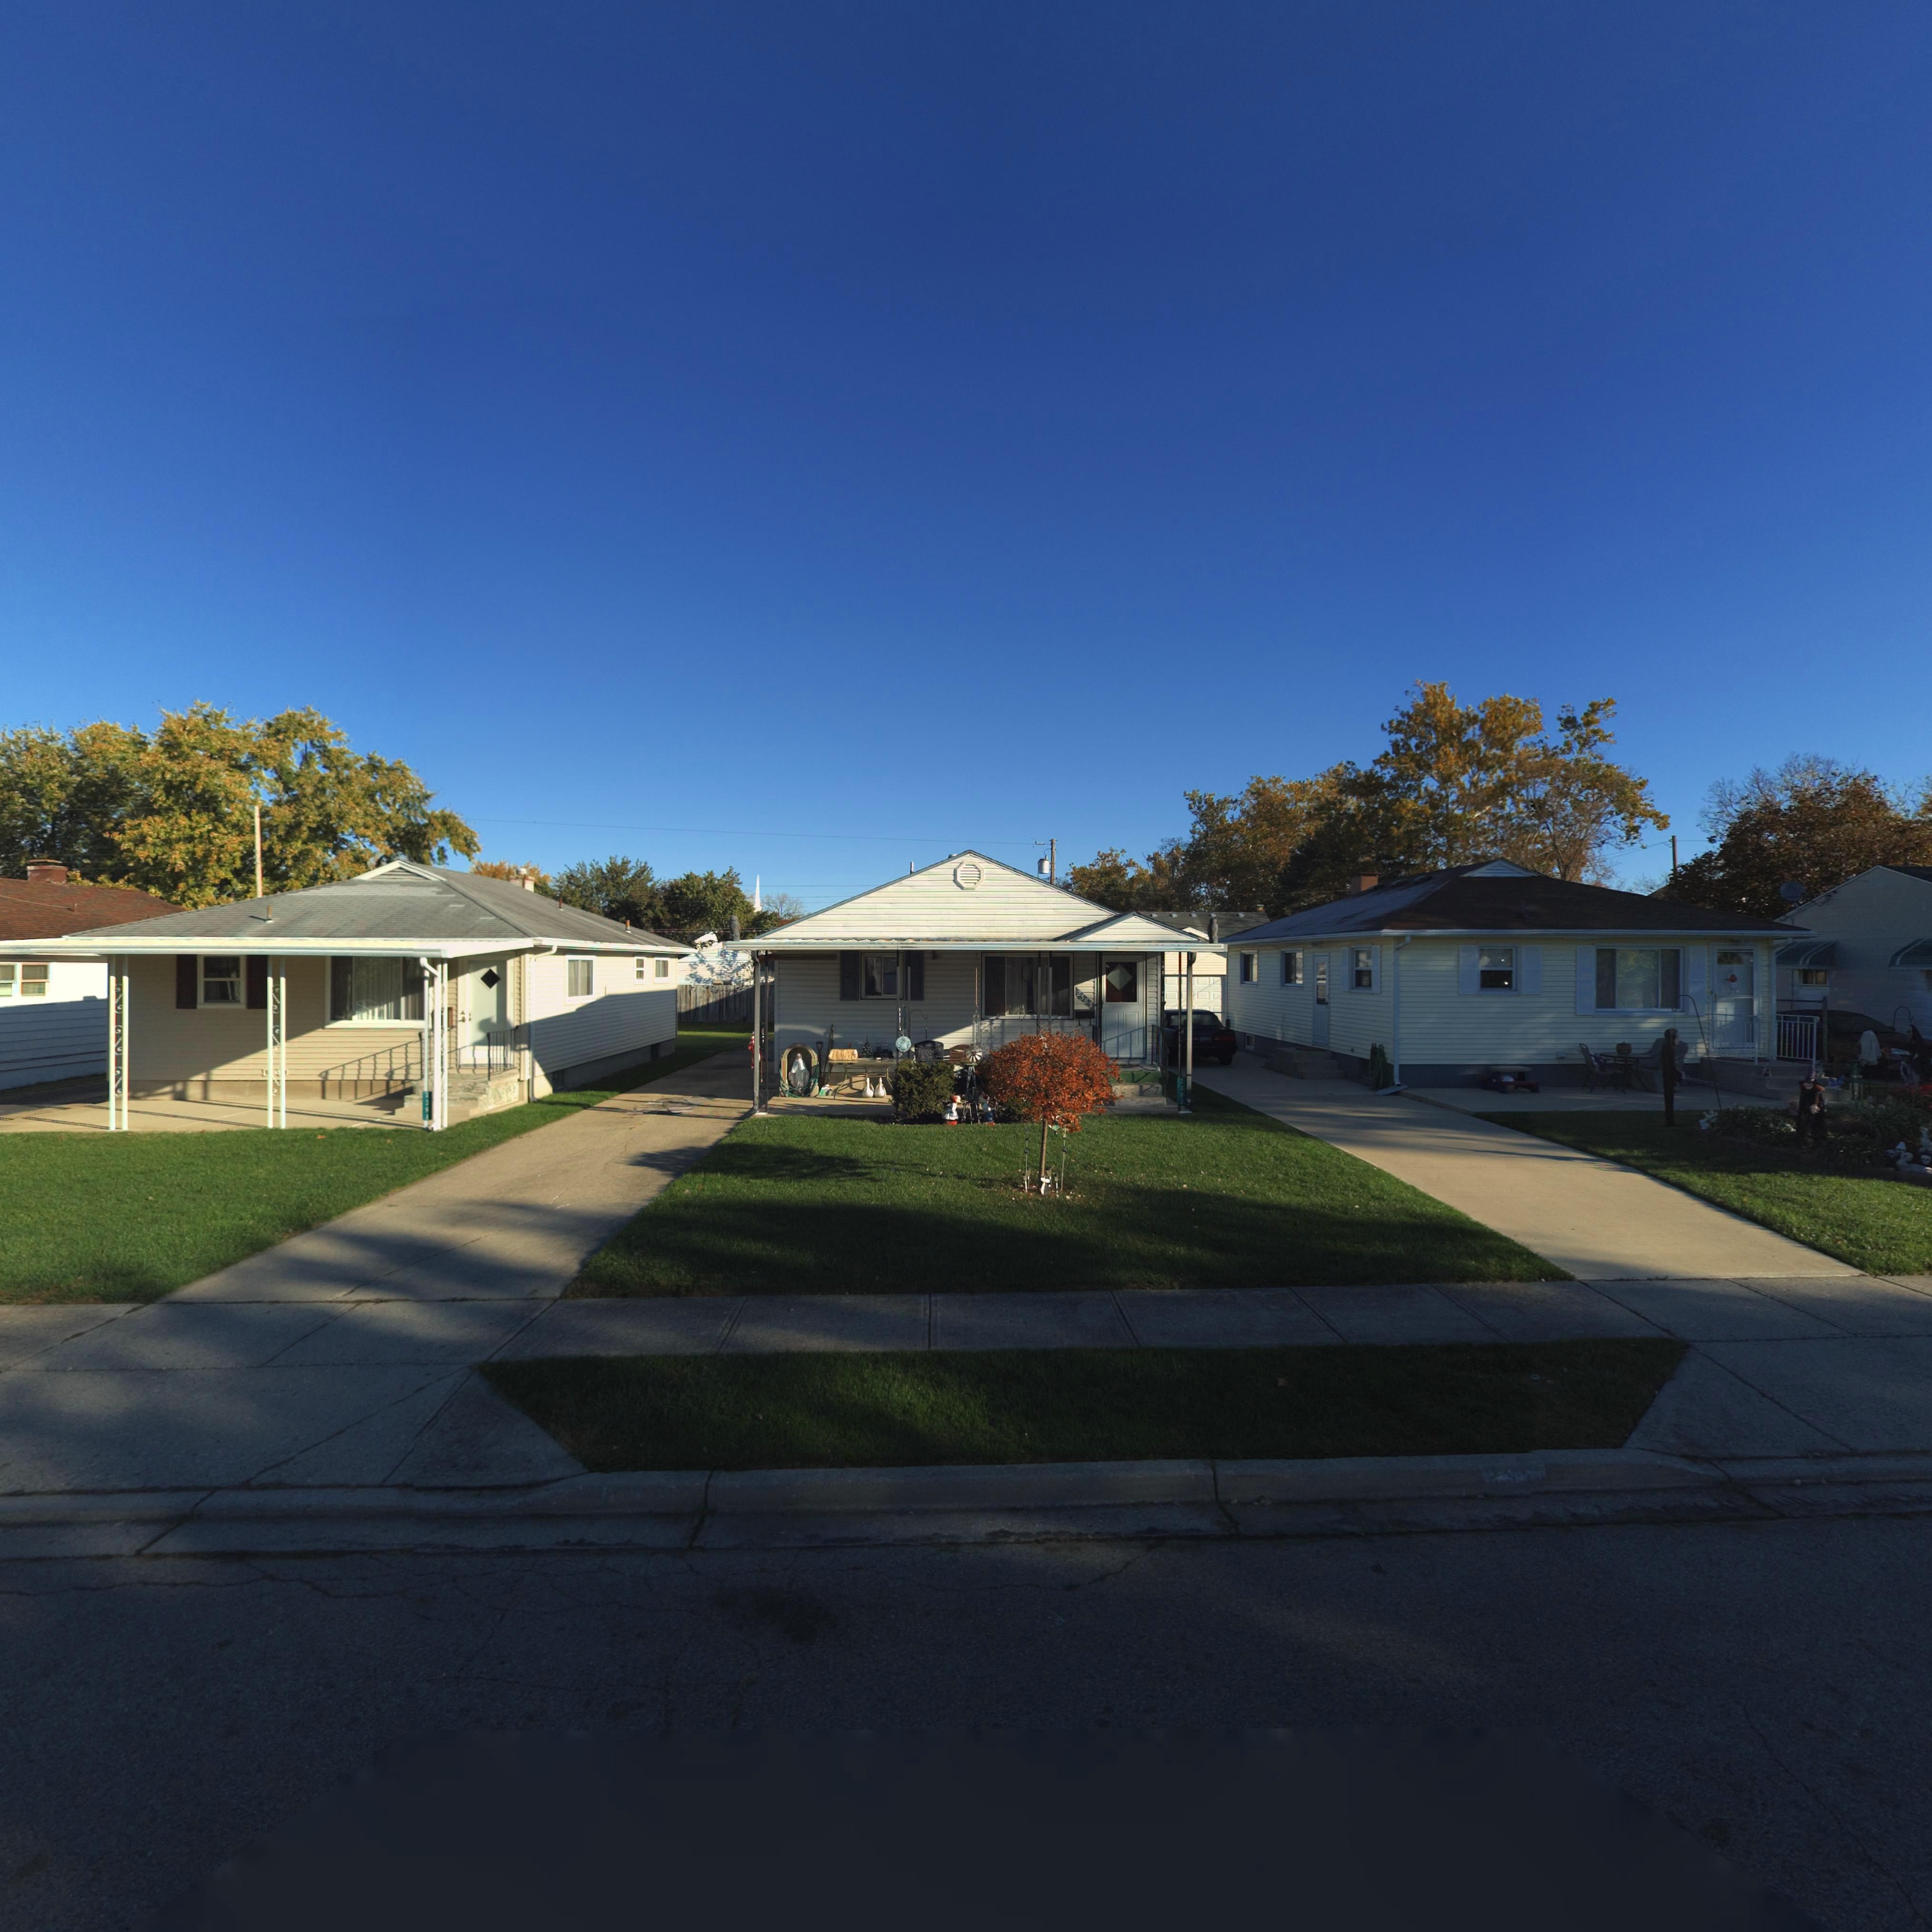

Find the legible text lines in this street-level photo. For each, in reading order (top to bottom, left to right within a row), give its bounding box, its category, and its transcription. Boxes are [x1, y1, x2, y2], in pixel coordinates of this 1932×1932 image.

[1076, 989, 1095, 1010] StreetNumber: 2383
[1179, 1078, 1184, 1104] StreetNumber: 2383
[424, 1092, 430, 1121] StreetNumber: 2391